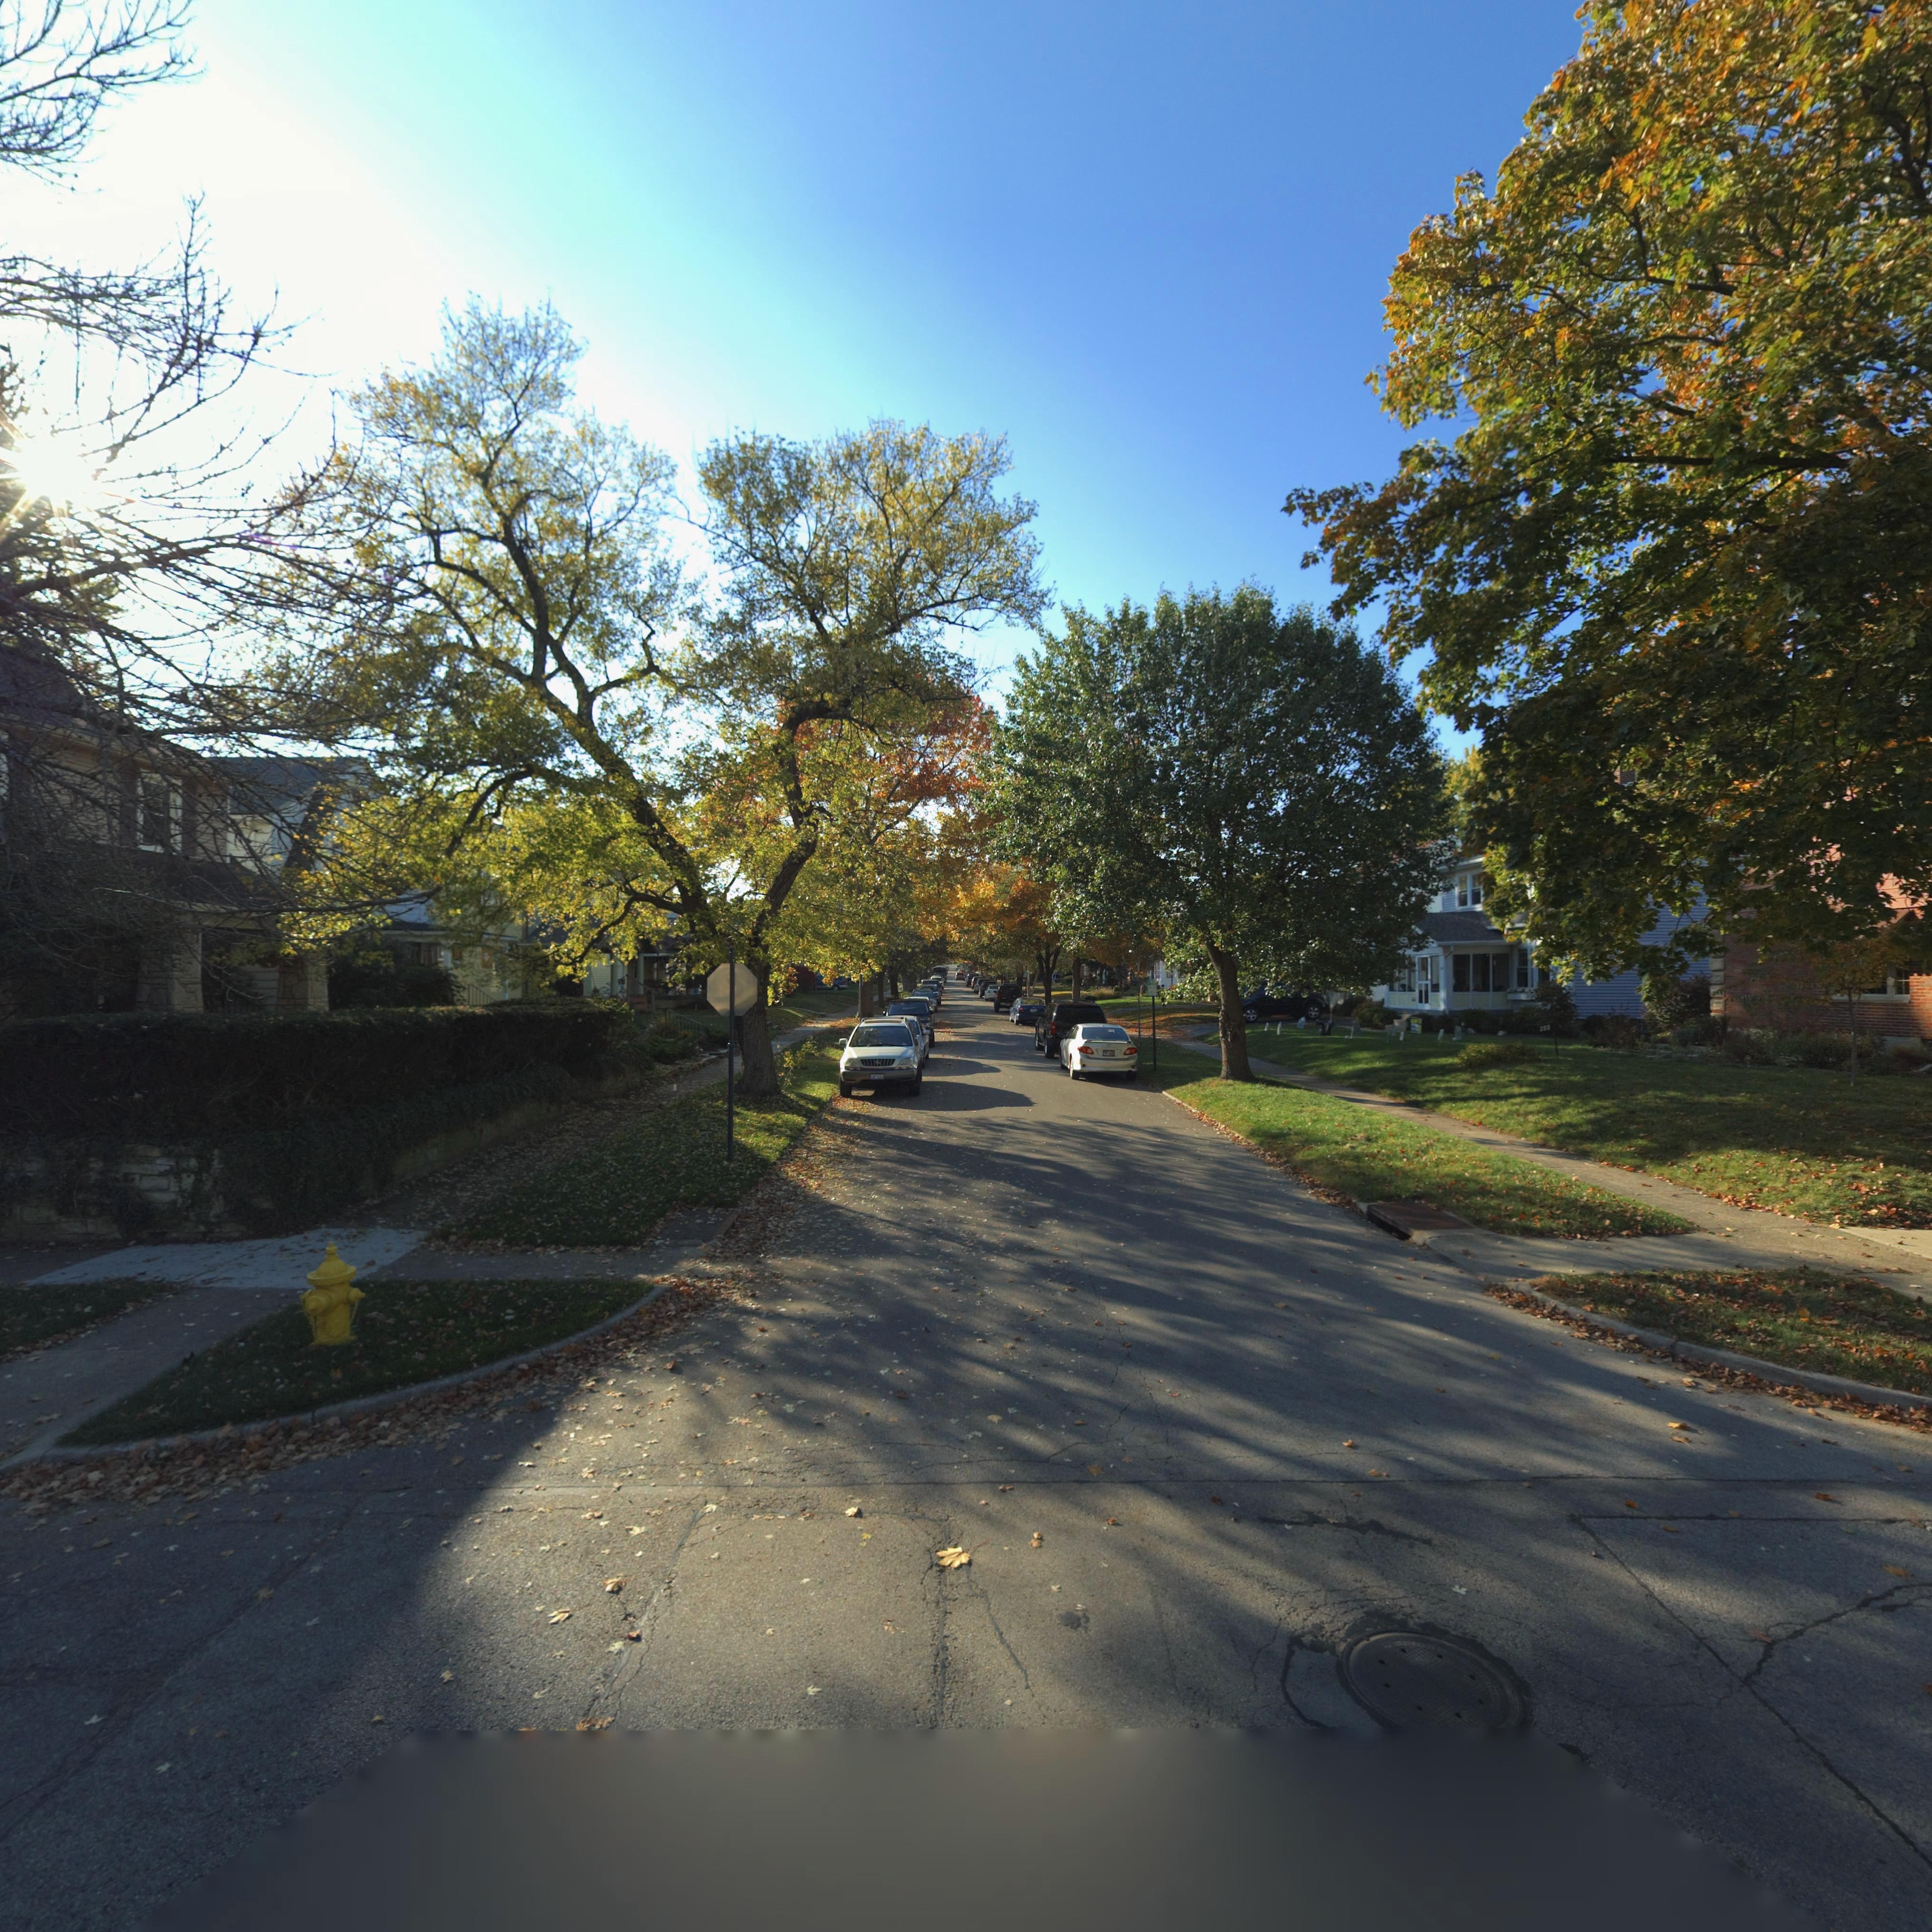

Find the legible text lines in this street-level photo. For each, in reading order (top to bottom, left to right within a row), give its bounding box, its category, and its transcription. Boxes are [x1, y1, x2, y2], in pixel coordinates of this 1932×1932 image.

[1539, 1023, 1552, 1033] StreetNumber: 255